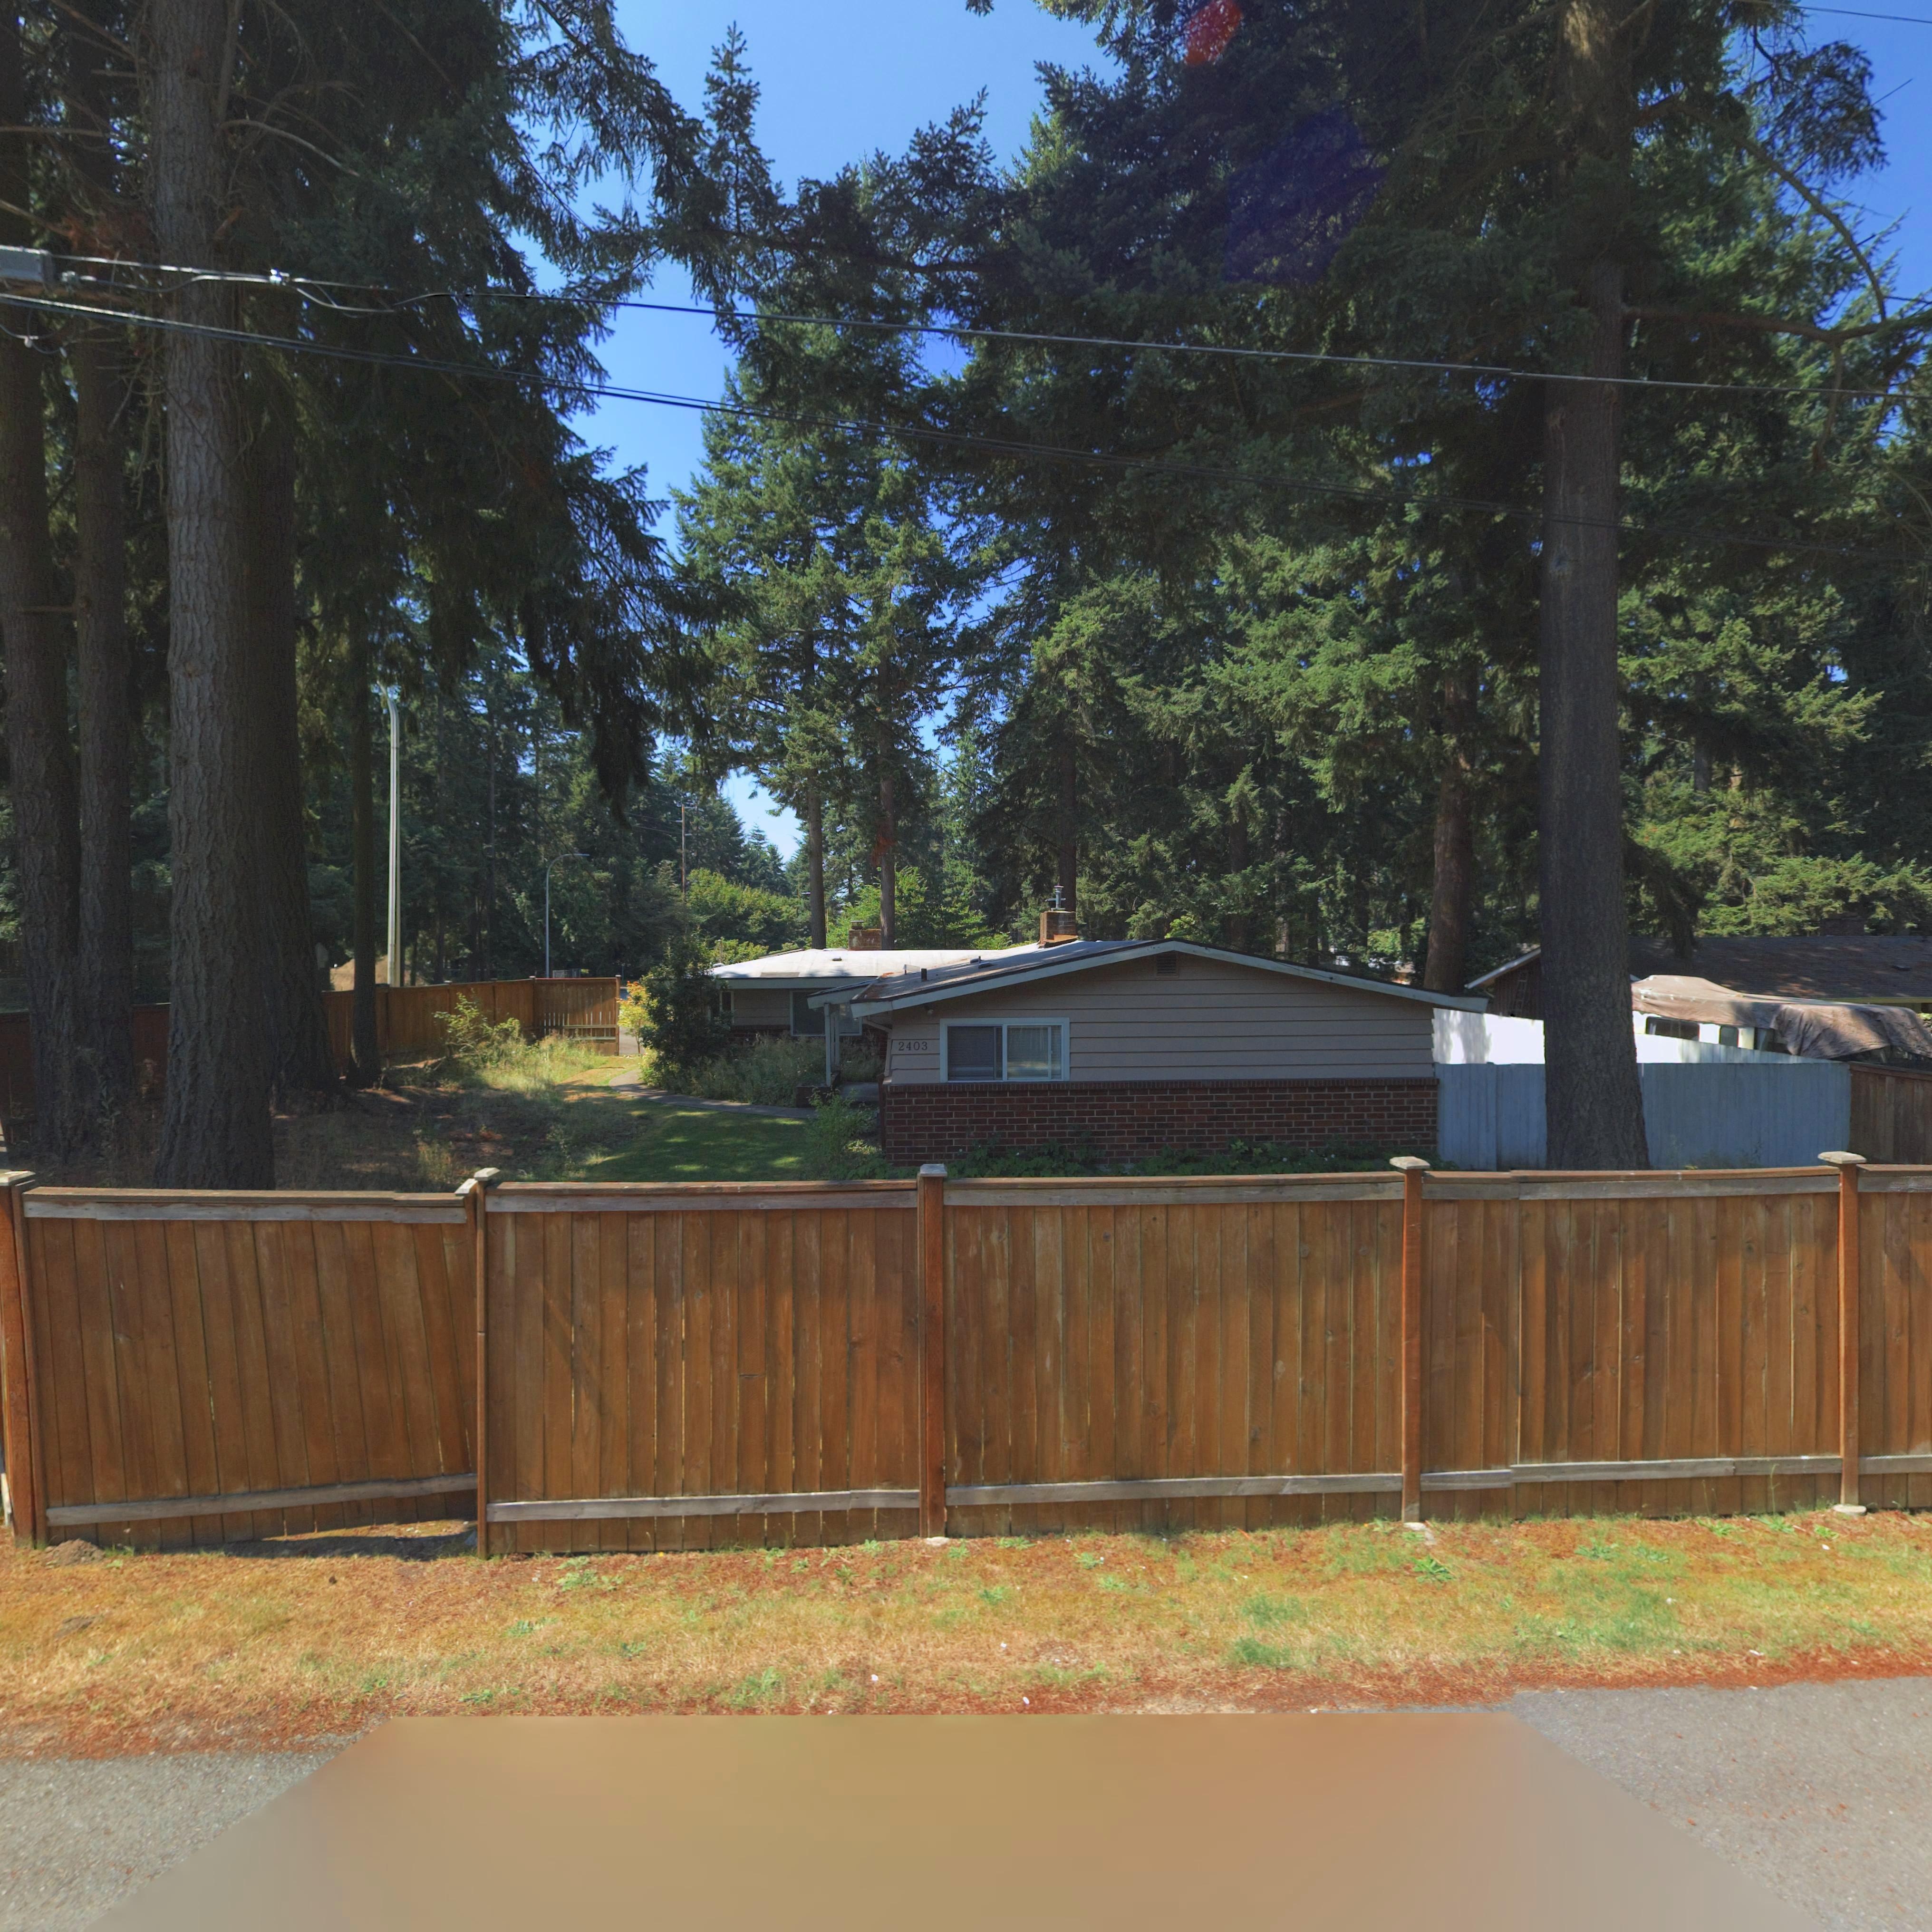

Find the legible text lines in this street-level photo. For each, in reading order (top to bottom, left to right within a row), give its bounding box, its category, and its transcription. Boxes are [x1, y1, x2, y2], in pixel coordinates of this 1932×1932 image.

[897, 1042, 928, 1050] StreetNumber: 2403